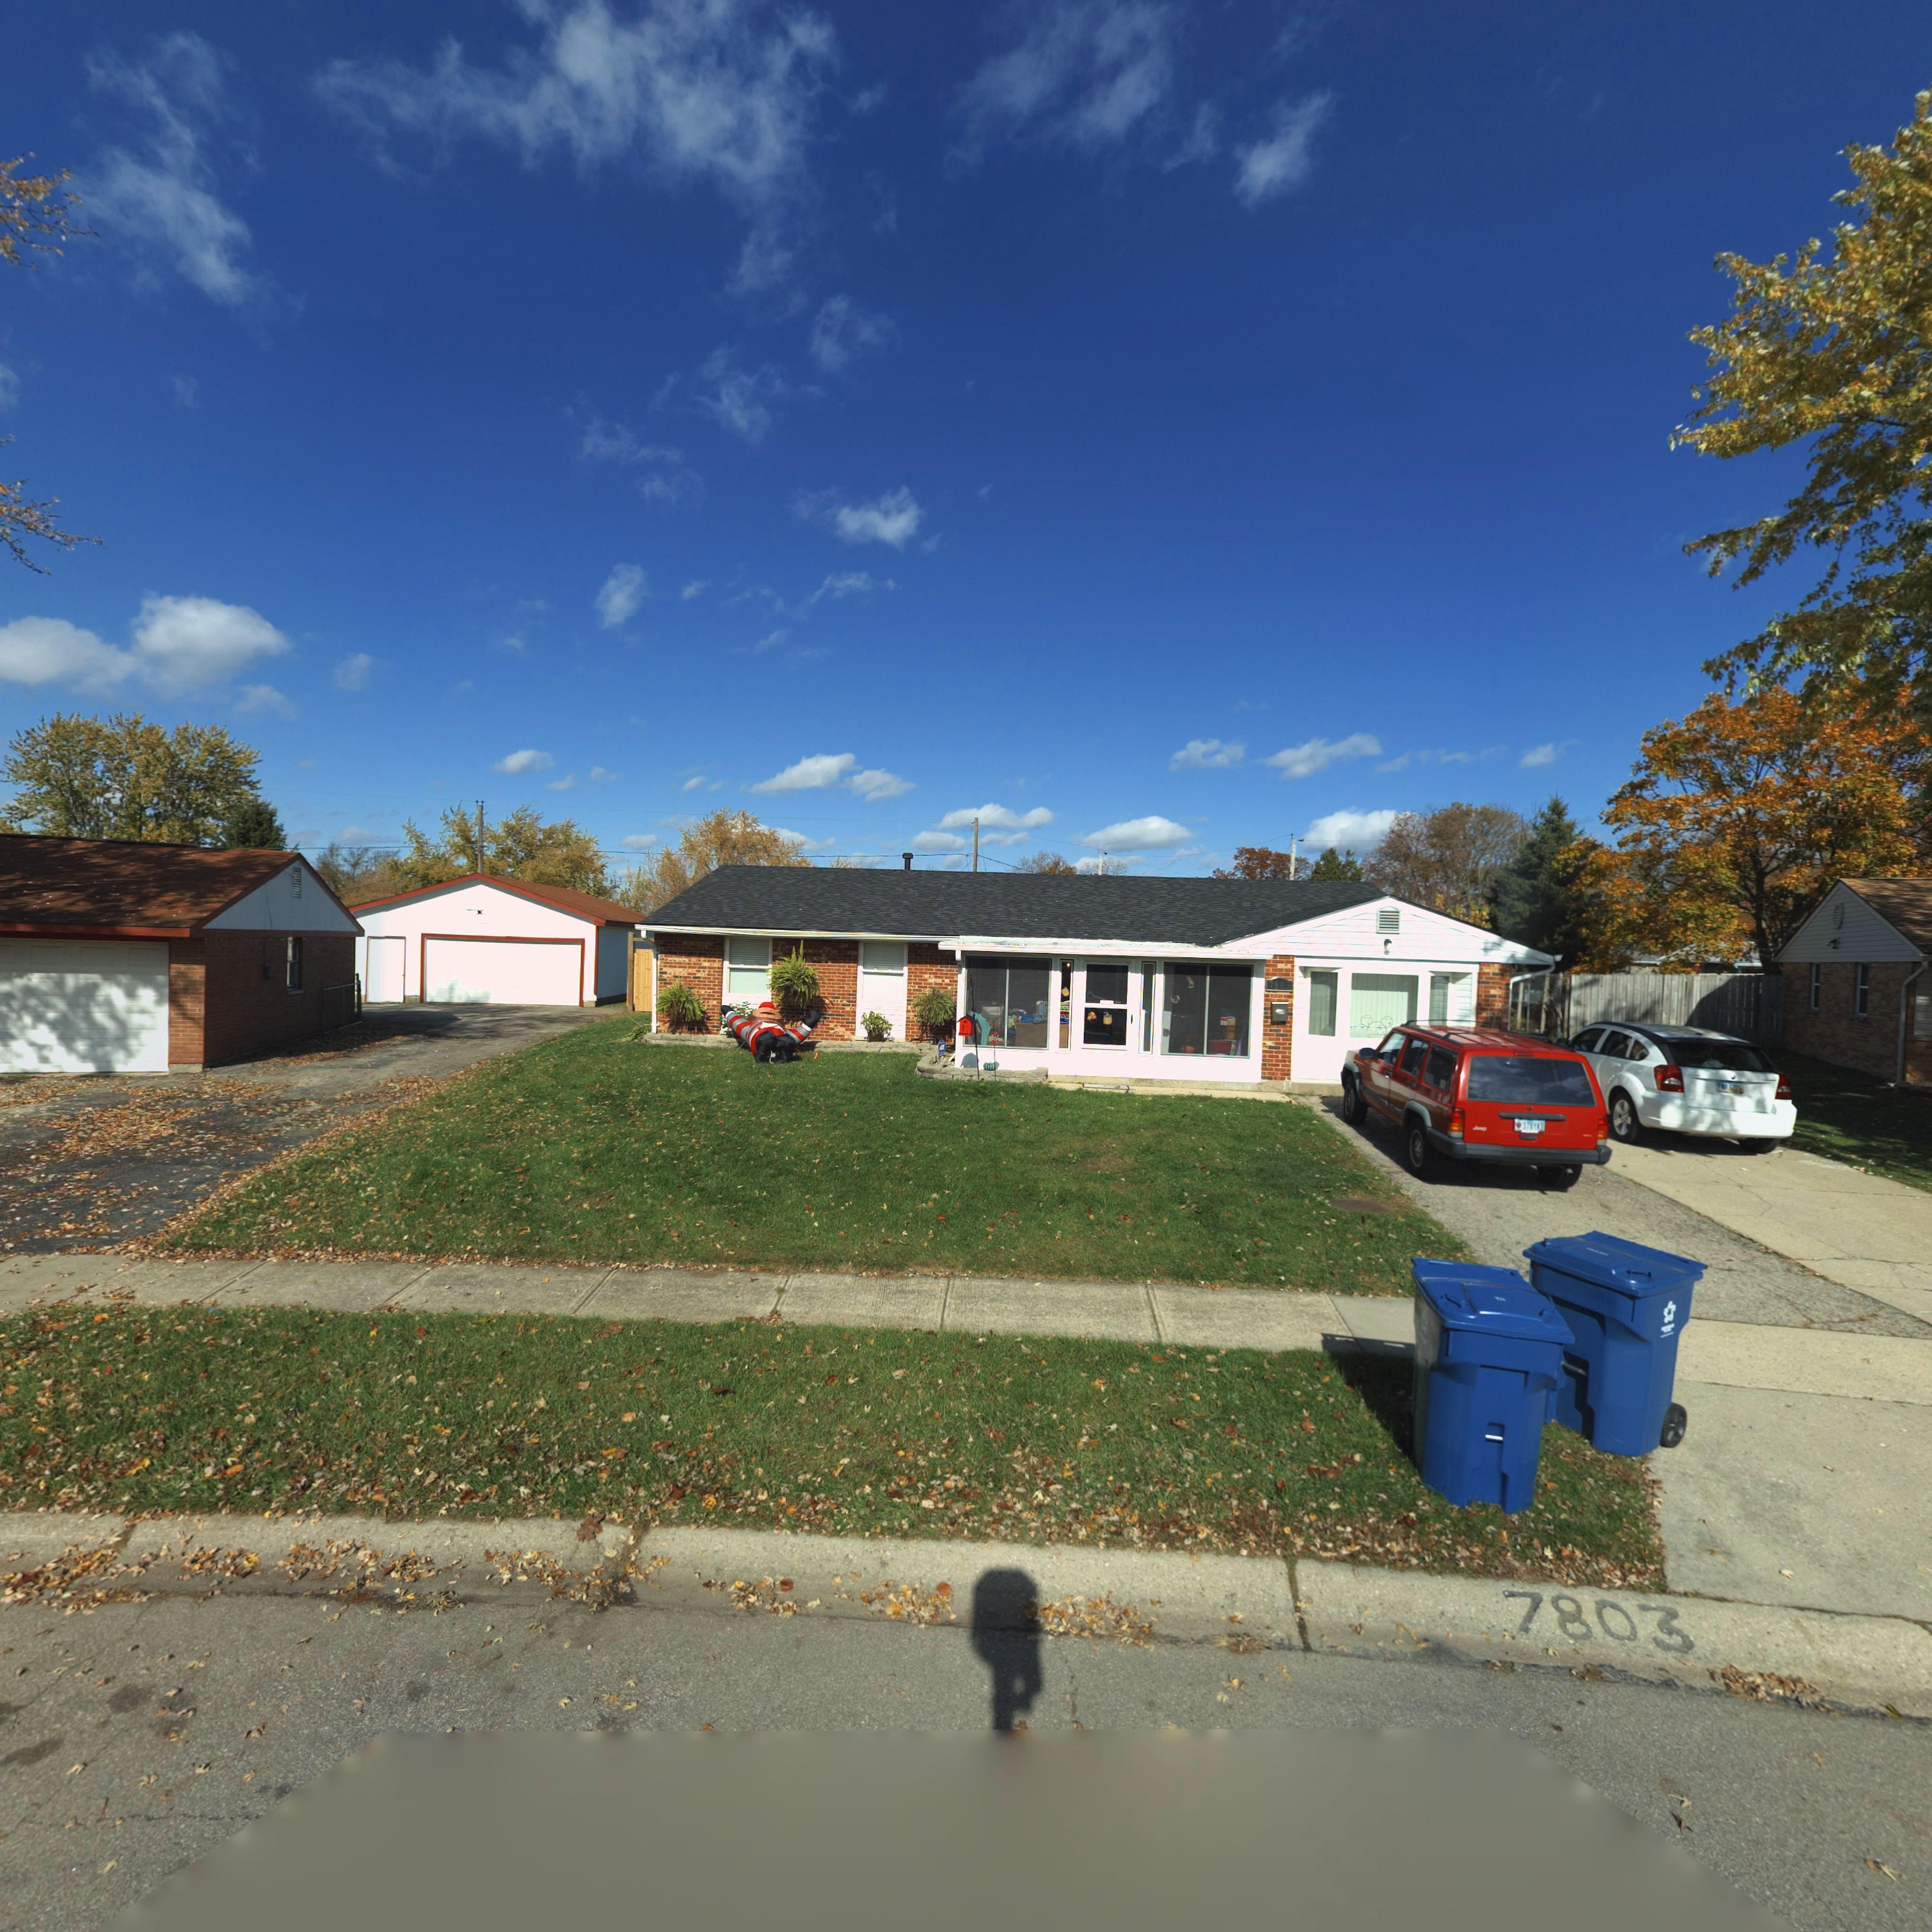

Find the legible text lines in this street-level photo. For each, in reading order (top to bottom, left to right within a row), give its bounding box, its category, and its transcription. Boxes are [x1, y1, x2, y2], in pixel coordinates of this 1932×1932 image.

[1268, 981, 1291, 990] StreetNumber: 7803
[1500, 1589, 1697, 1657] StreetNumber: 7803